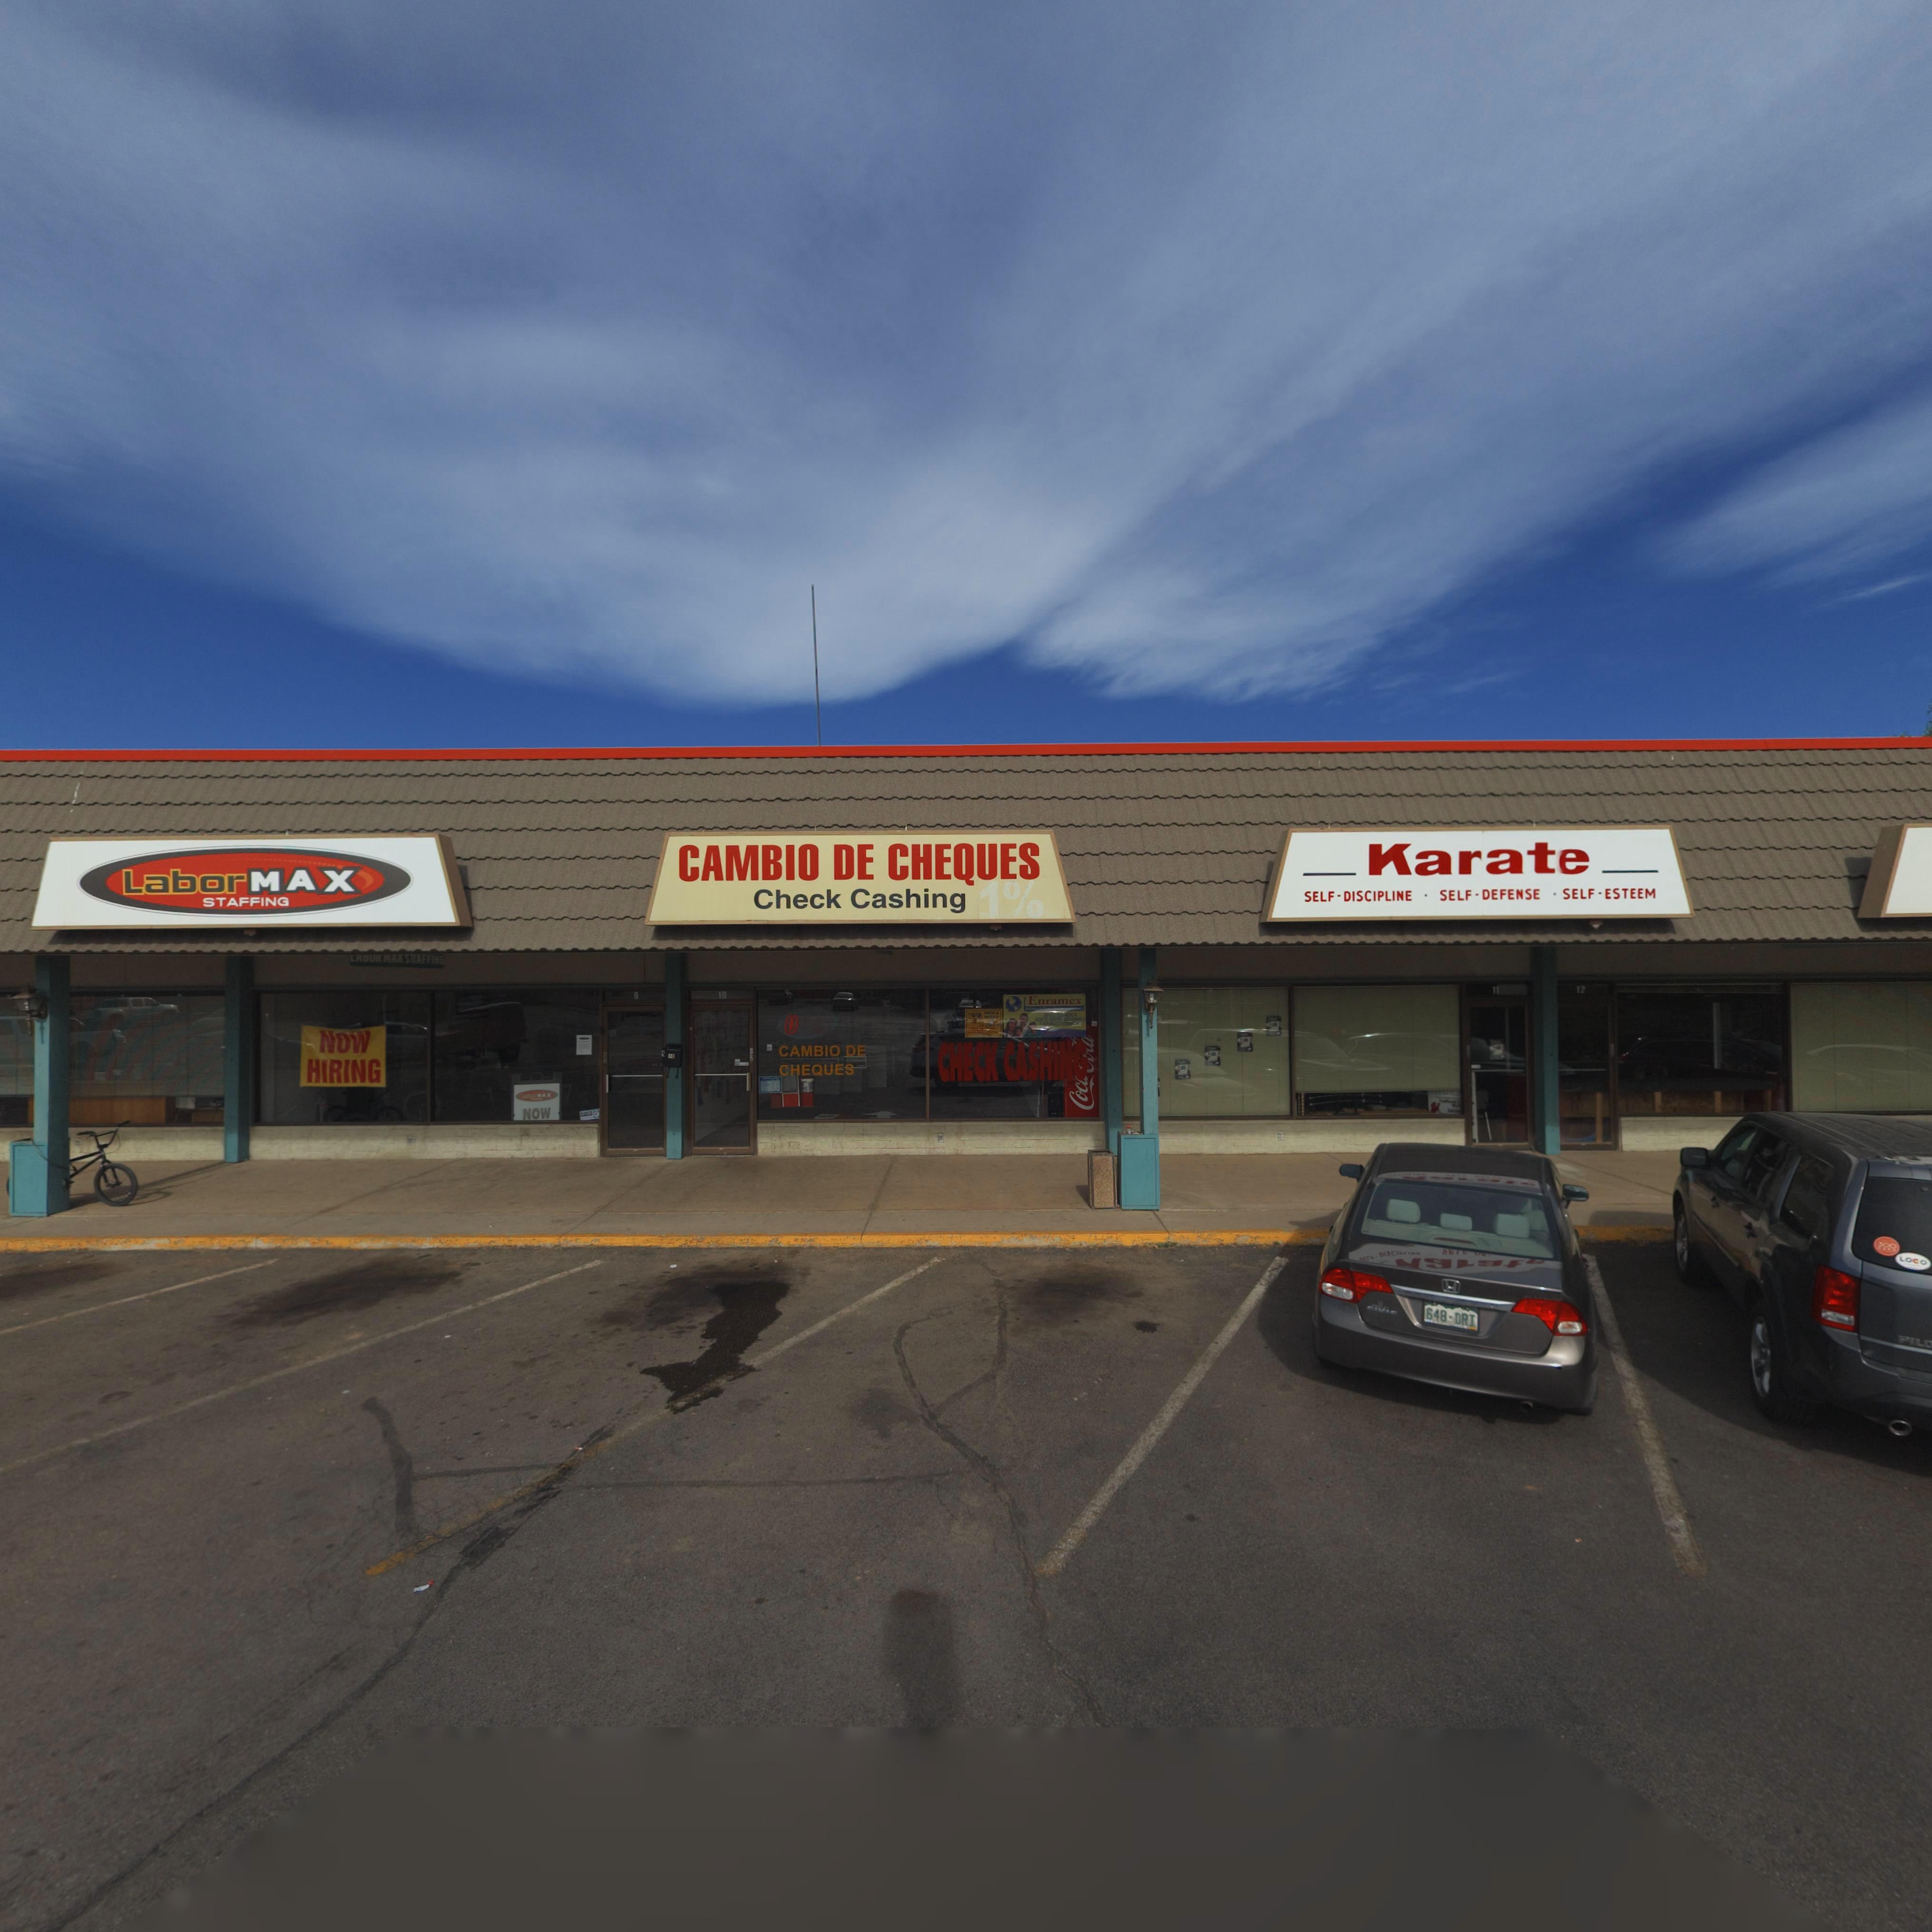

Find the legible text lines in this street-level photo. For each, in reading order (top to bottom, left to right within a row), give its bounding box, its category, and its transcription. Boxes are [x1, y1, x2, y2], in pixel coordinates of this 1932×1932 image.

[677, 841, 1041, 889] BusinessName: CAMBIO DE CHEQUES
[121, 866, 360, 896] BusinessName: LaborMAX
[203, 896, 290, 908] BusinessName: STAFFING
[350, 953, 444, 965] BusinessName: LAB** MAX S*AFFING
[633, 990, 639, 999] StreetNumber: 9
[718, 991, 726, 999] StreetNumber: 10
[1491, 985, 1500, 994] StreetNumber: 11
[1575, 984, 1586, 995] StreetNumber: 12
[669, 1054, 674, 1058] StreetNumber: 10
[778, 1044, 867, 1057] BusinessName: CAMBIO DE
[778, 1063, 855, 1077] BusinessName: CHEQUES